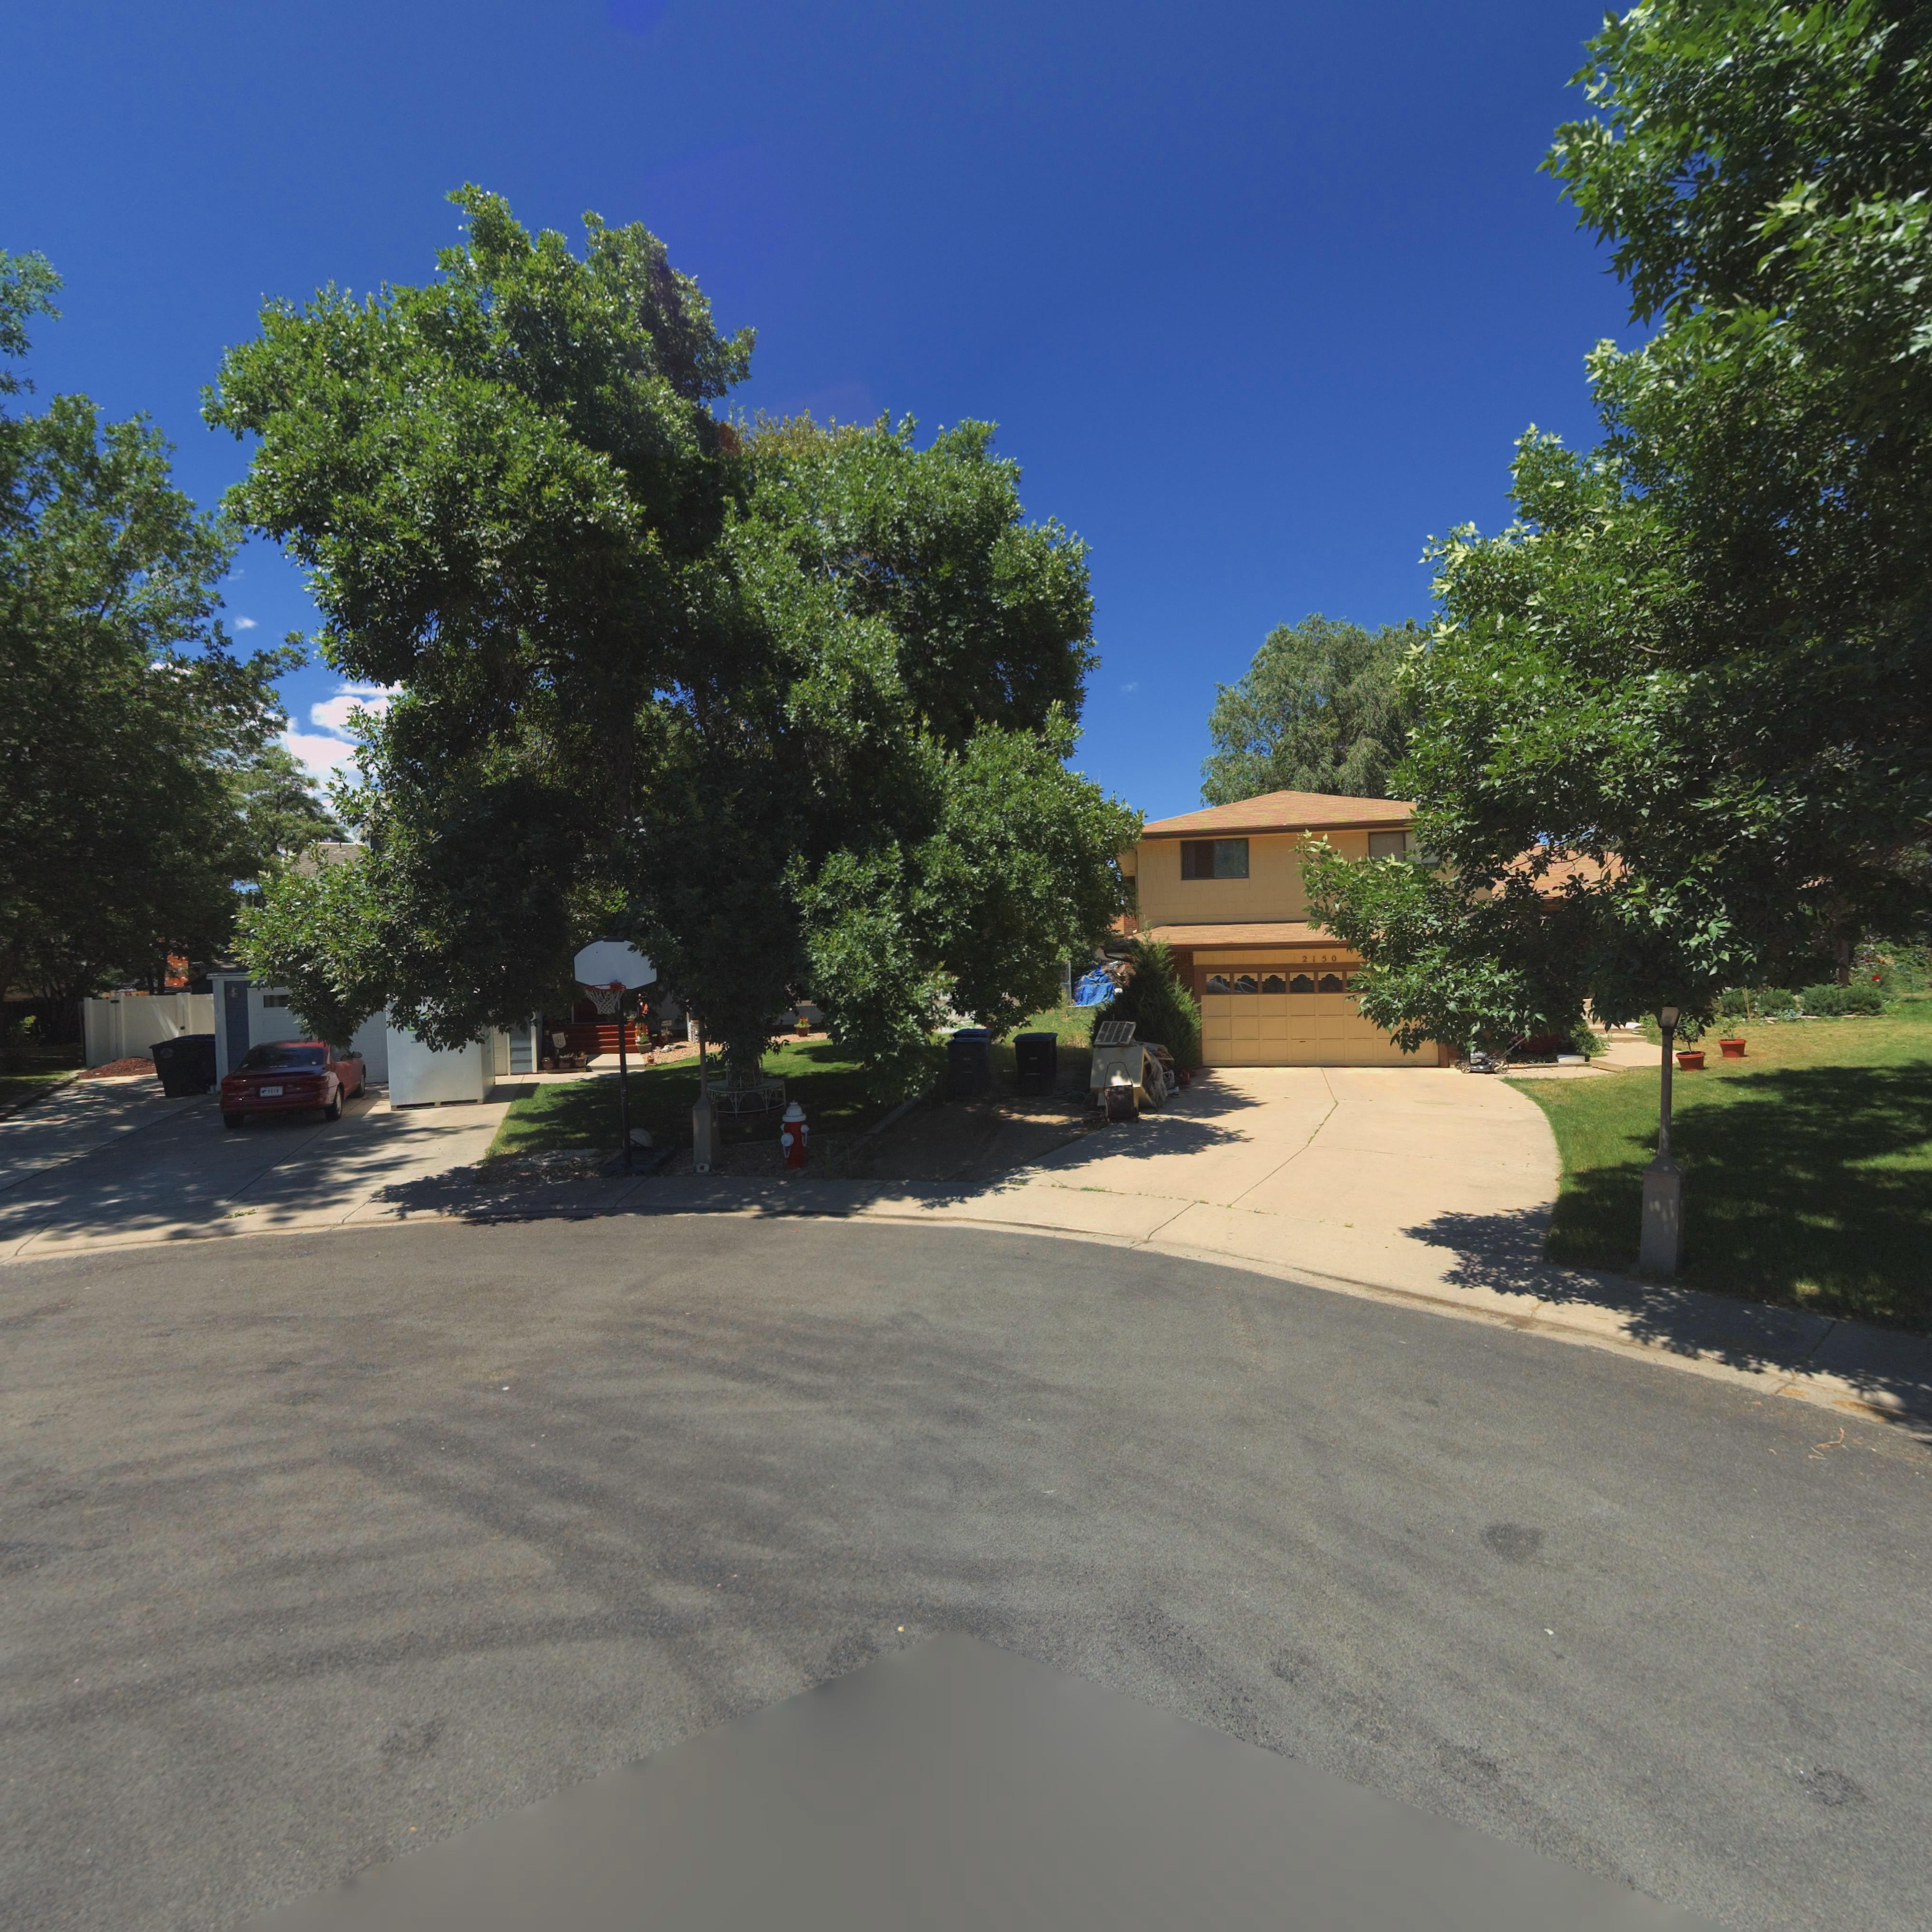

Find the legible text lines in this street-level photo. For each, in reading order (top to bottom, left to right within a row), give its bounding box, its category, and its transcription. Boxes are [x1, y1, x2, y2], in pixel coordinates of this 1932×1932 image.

[1302, 955, 1337, 962] StreetNumber: 2150